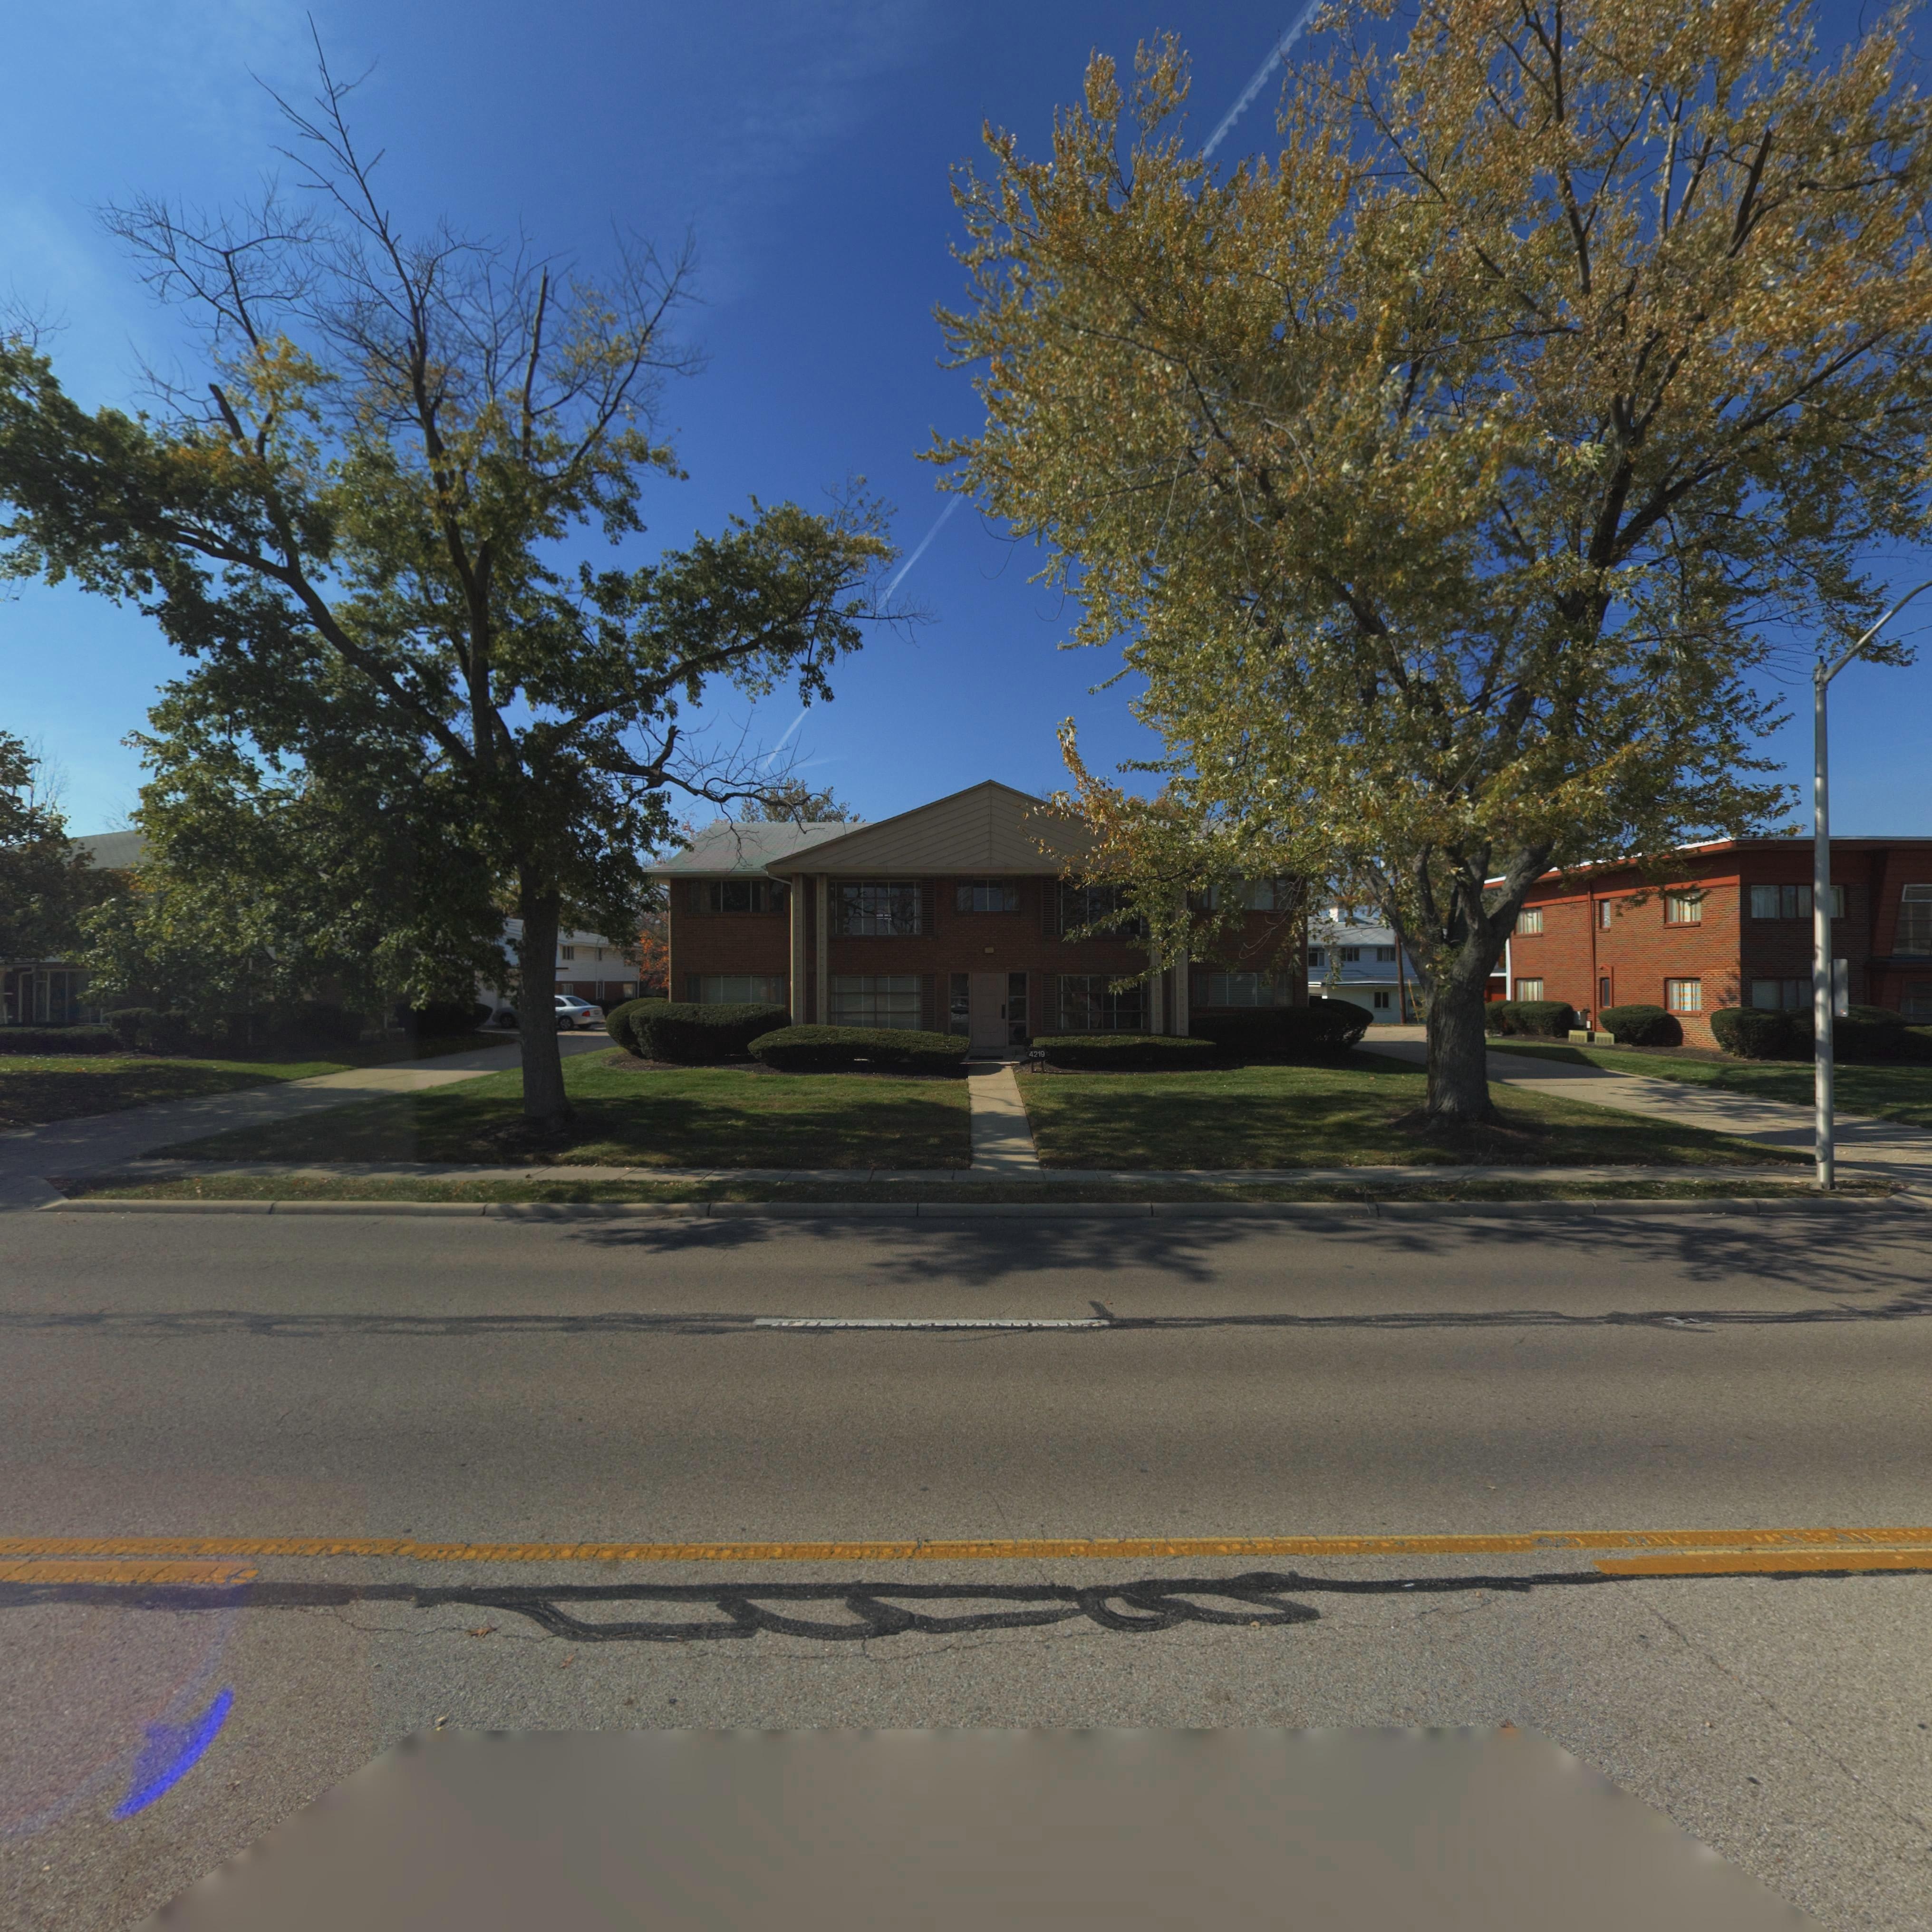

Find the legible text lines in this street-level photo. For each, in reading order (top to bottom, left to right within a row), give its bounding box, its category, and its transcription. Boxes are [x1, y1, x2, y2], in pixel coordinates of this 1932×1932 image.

[1028, 1051, 1045, 1058] StreetNumber: 4219